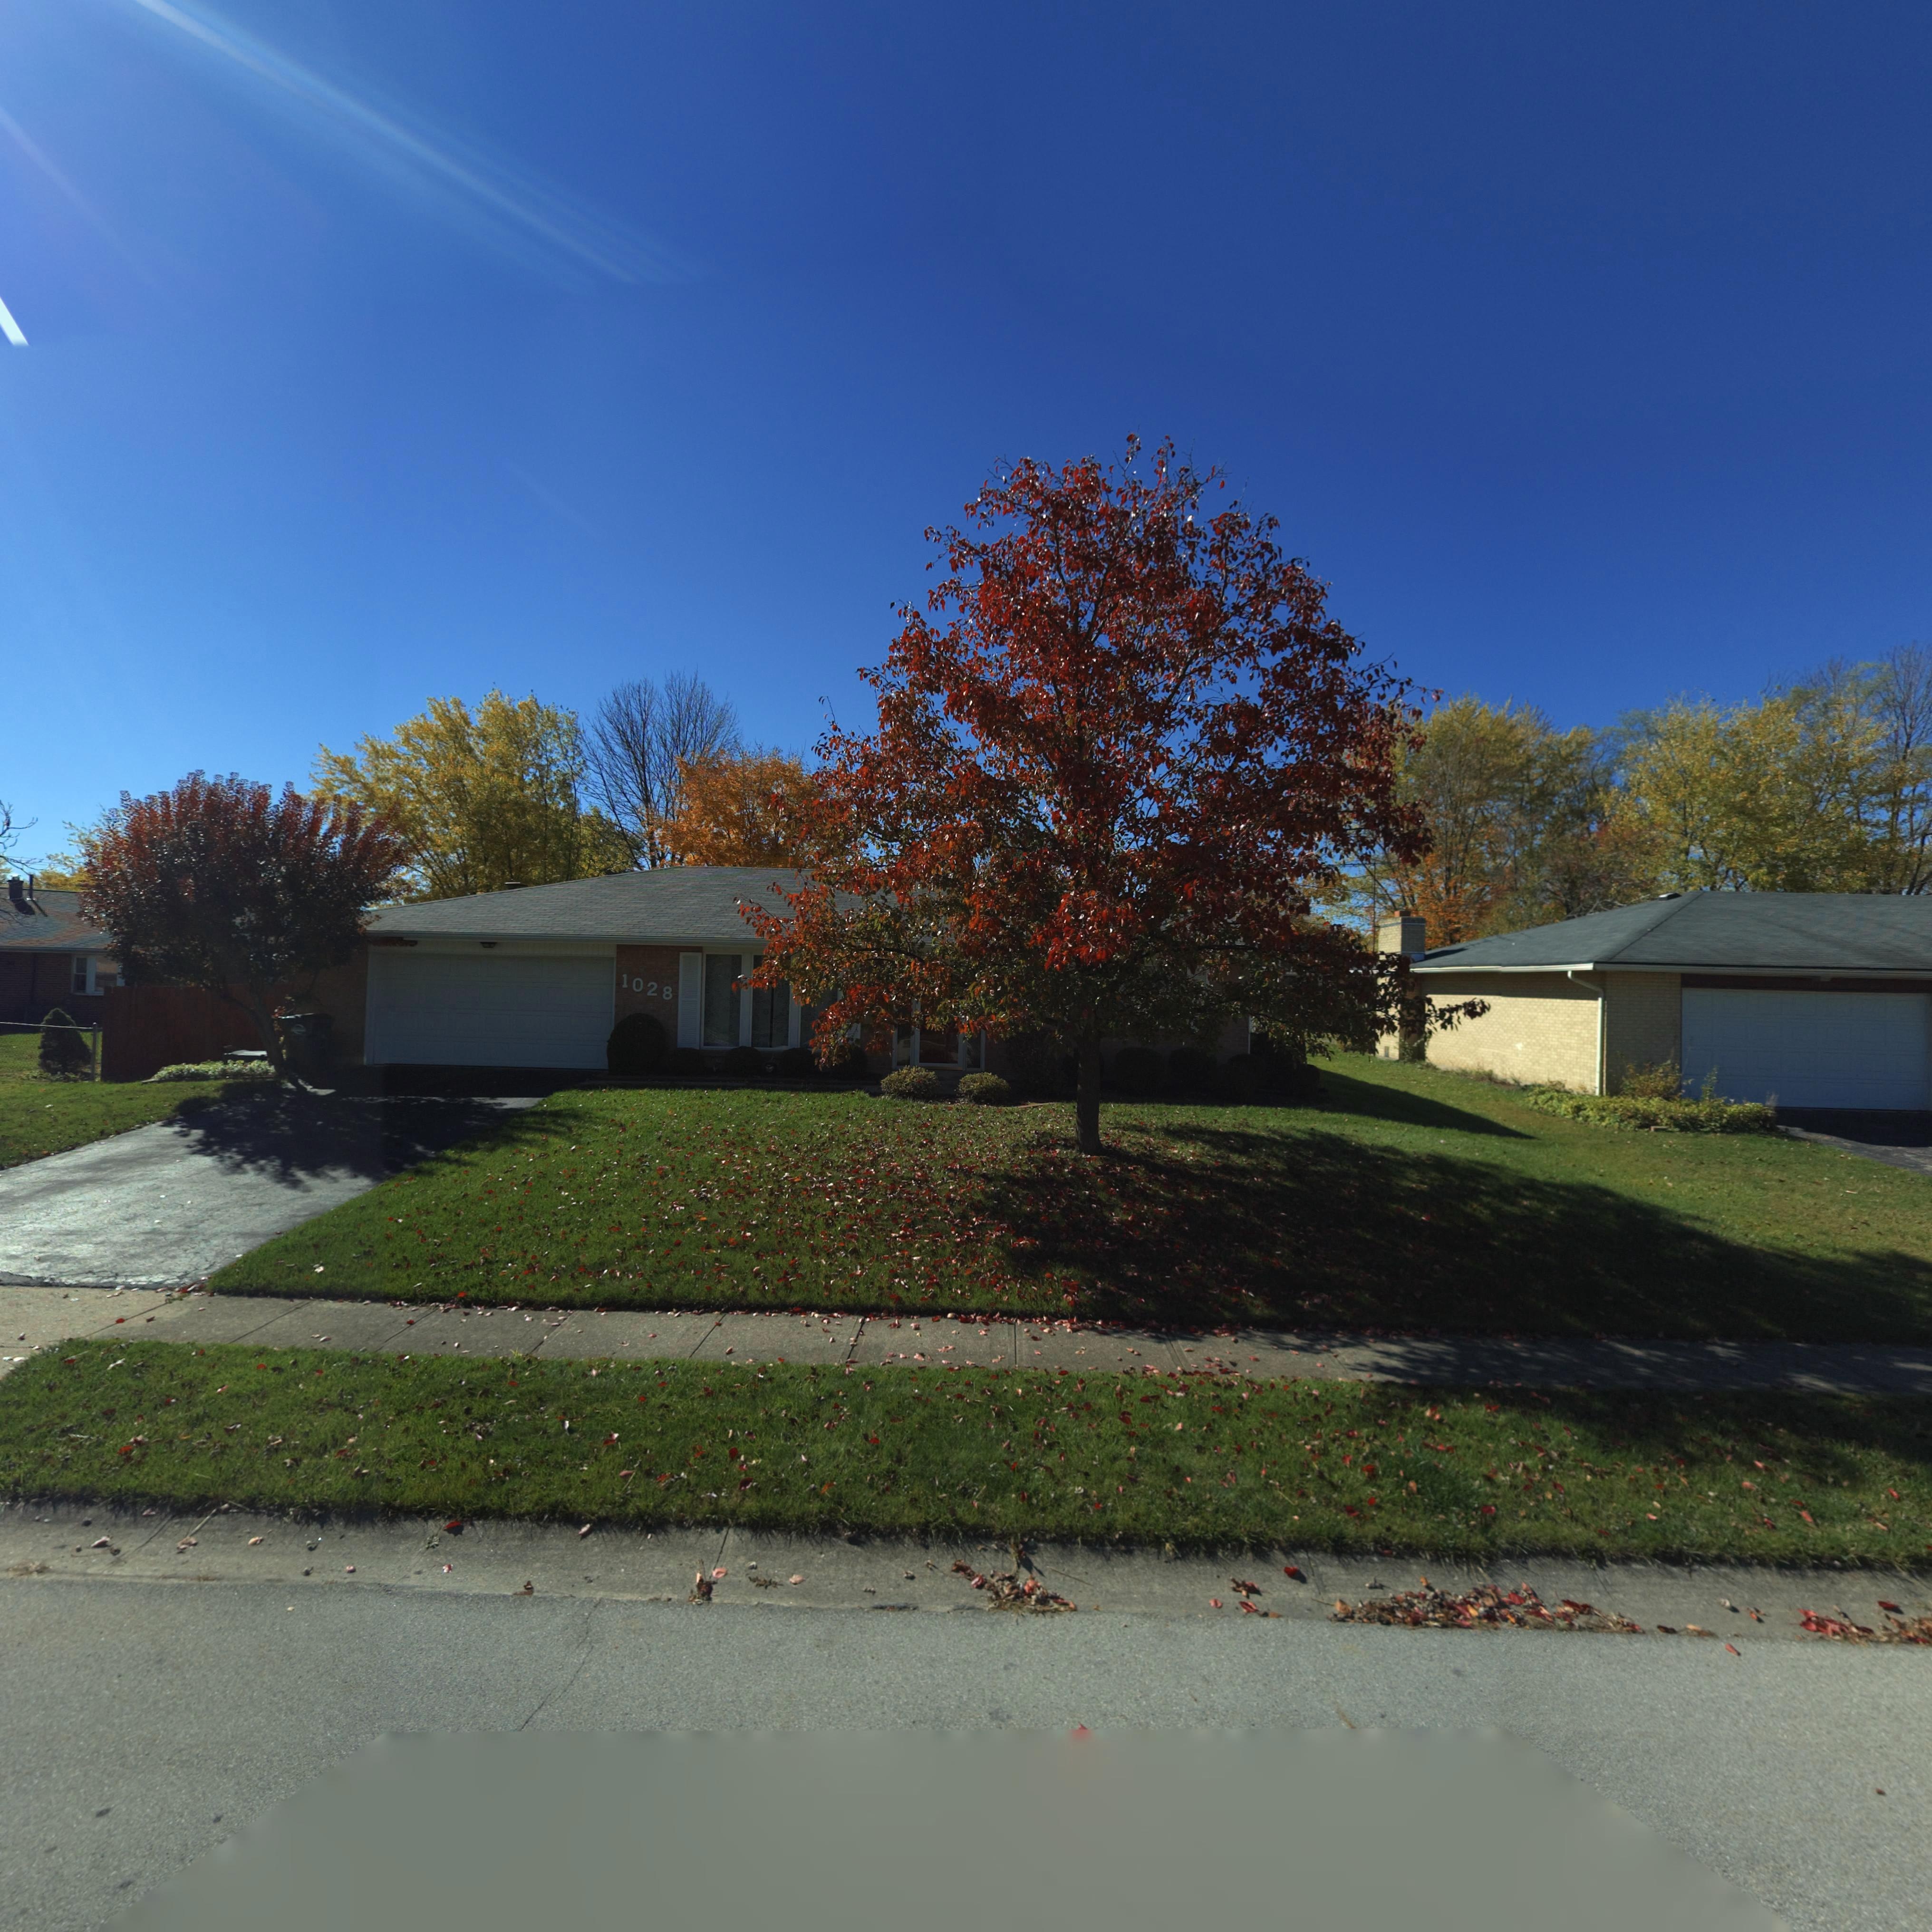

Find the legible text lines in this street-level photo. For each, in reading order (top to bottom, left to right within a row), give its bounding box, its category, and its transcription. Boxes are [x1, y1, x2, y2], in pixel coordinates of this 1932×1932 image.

[621, 973, 673, 1001] StreetNumber: 1028